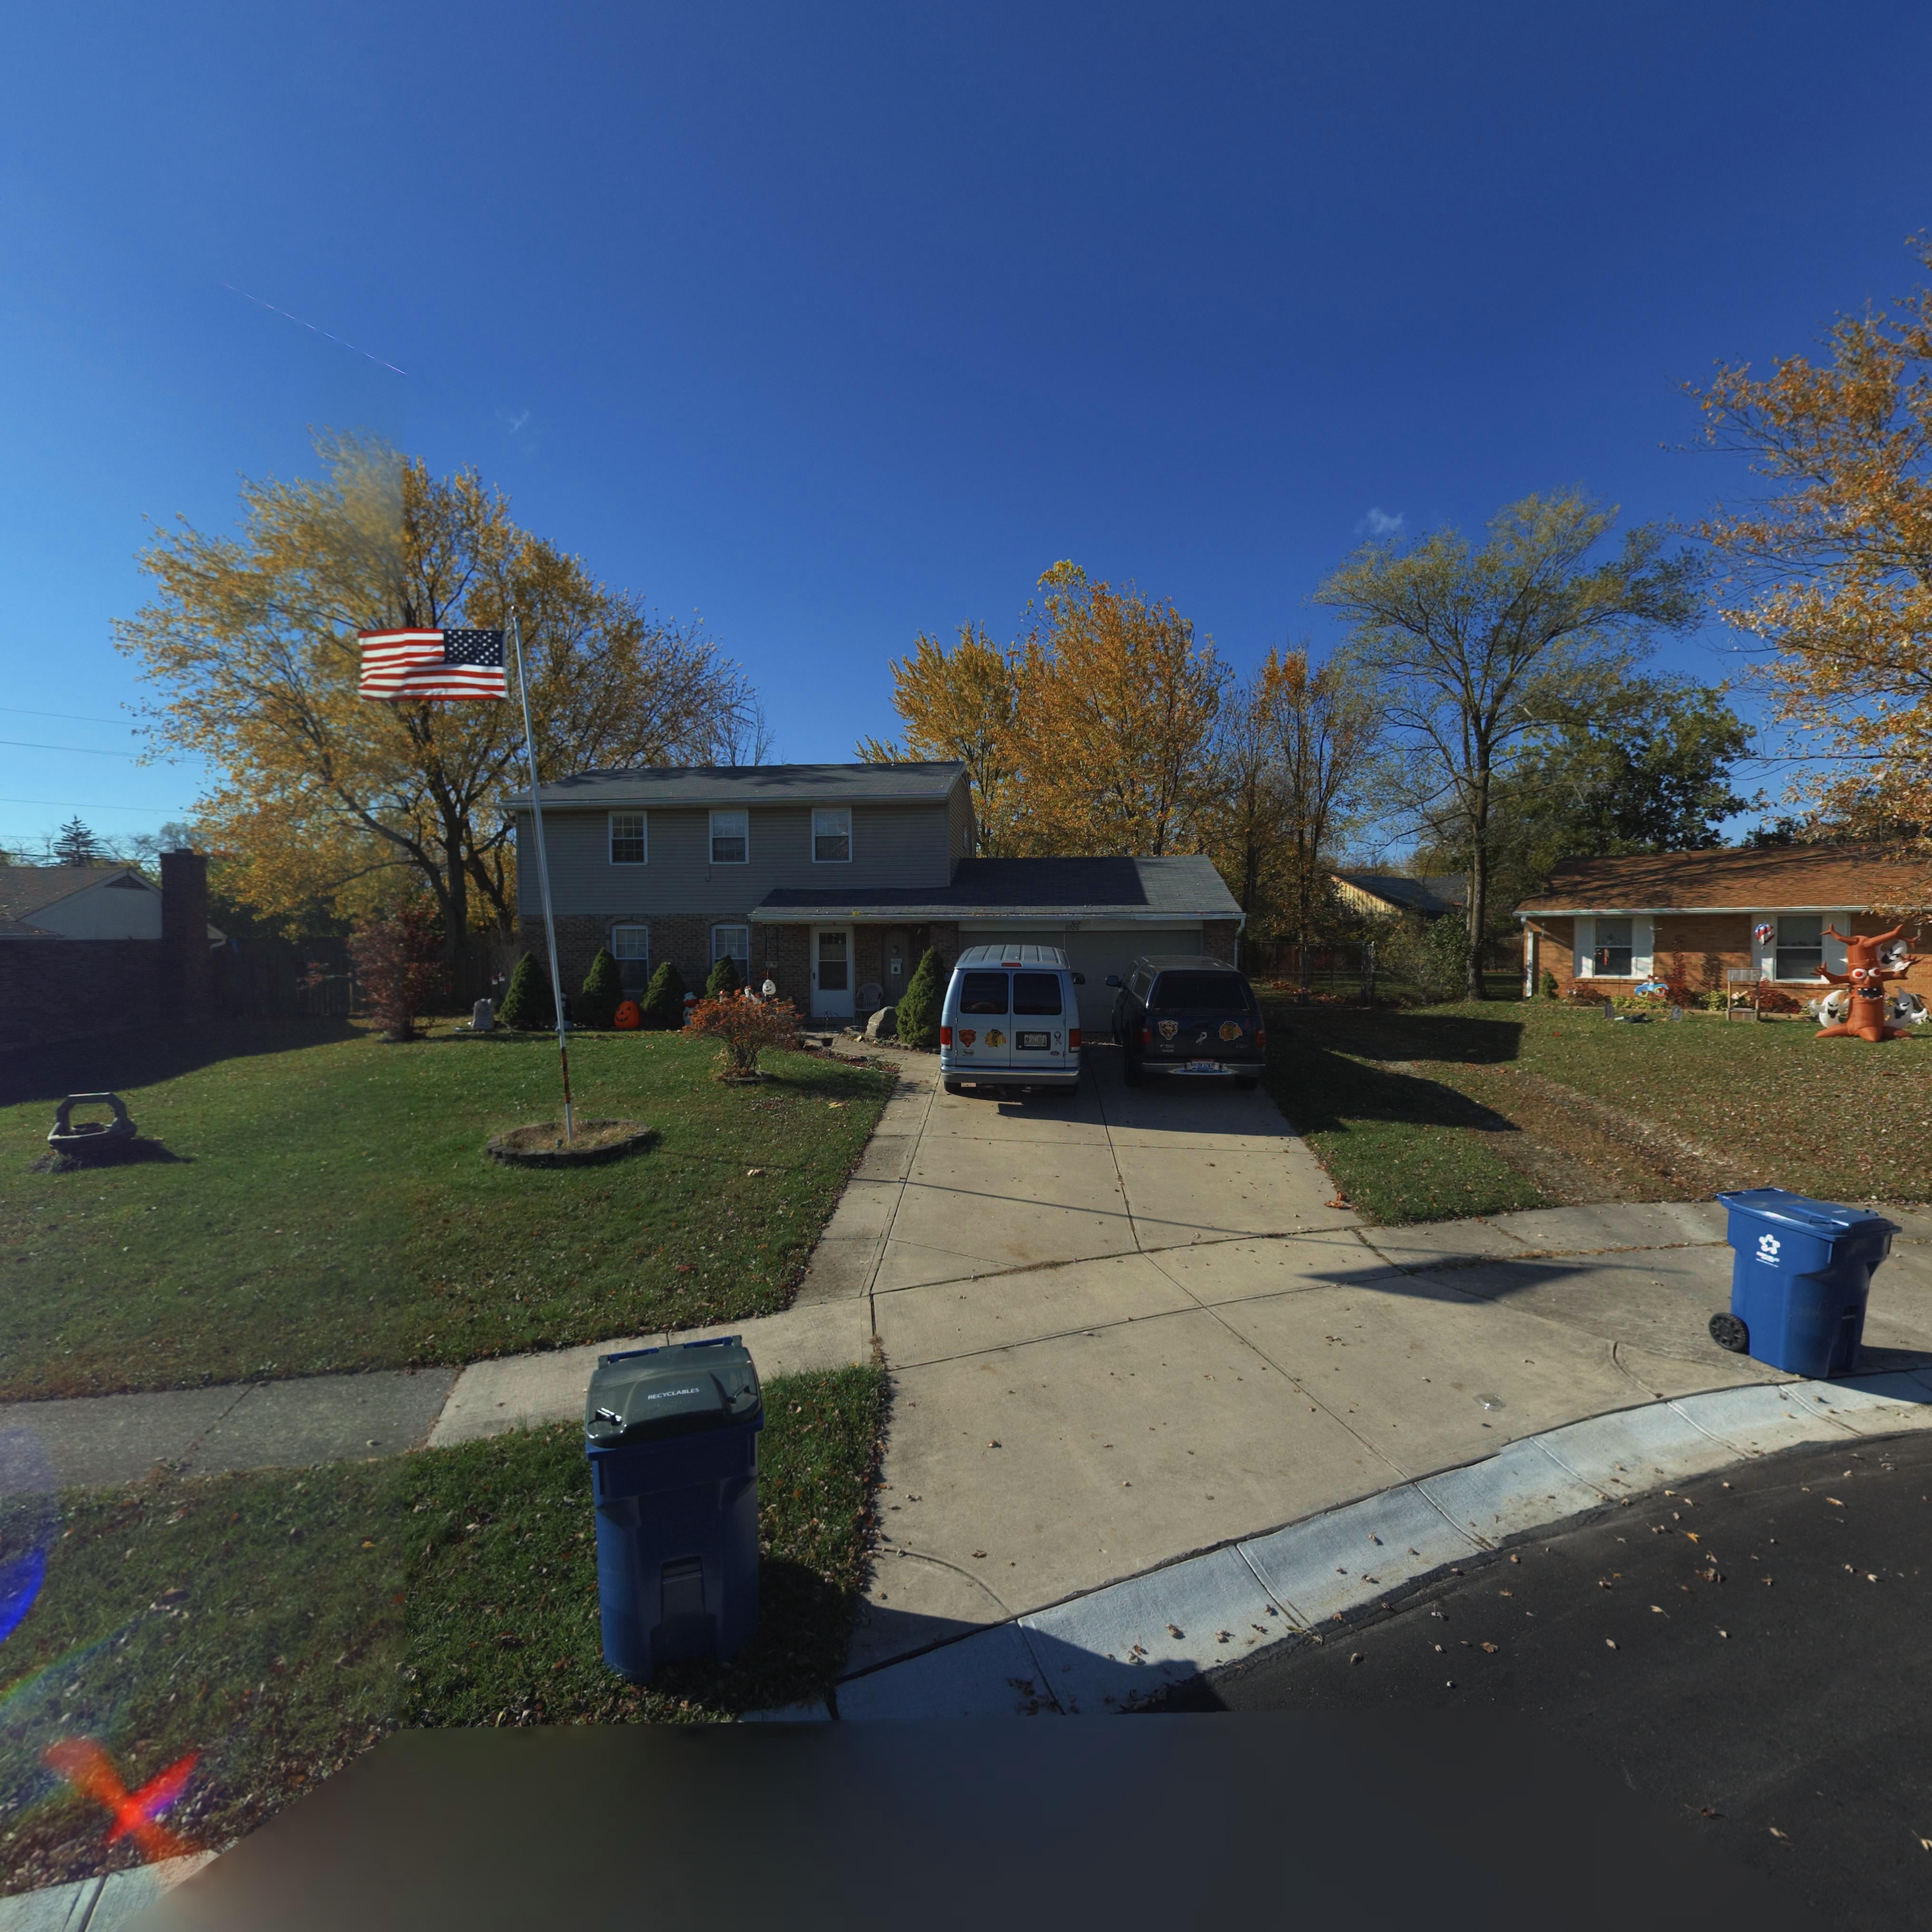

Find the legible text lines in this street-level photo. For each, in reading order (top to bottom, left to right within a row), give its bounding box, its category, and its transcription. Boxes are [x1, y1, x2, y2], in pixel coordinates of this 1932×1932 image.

[1065, 925, 1079, 931] StreetNumber: 6920